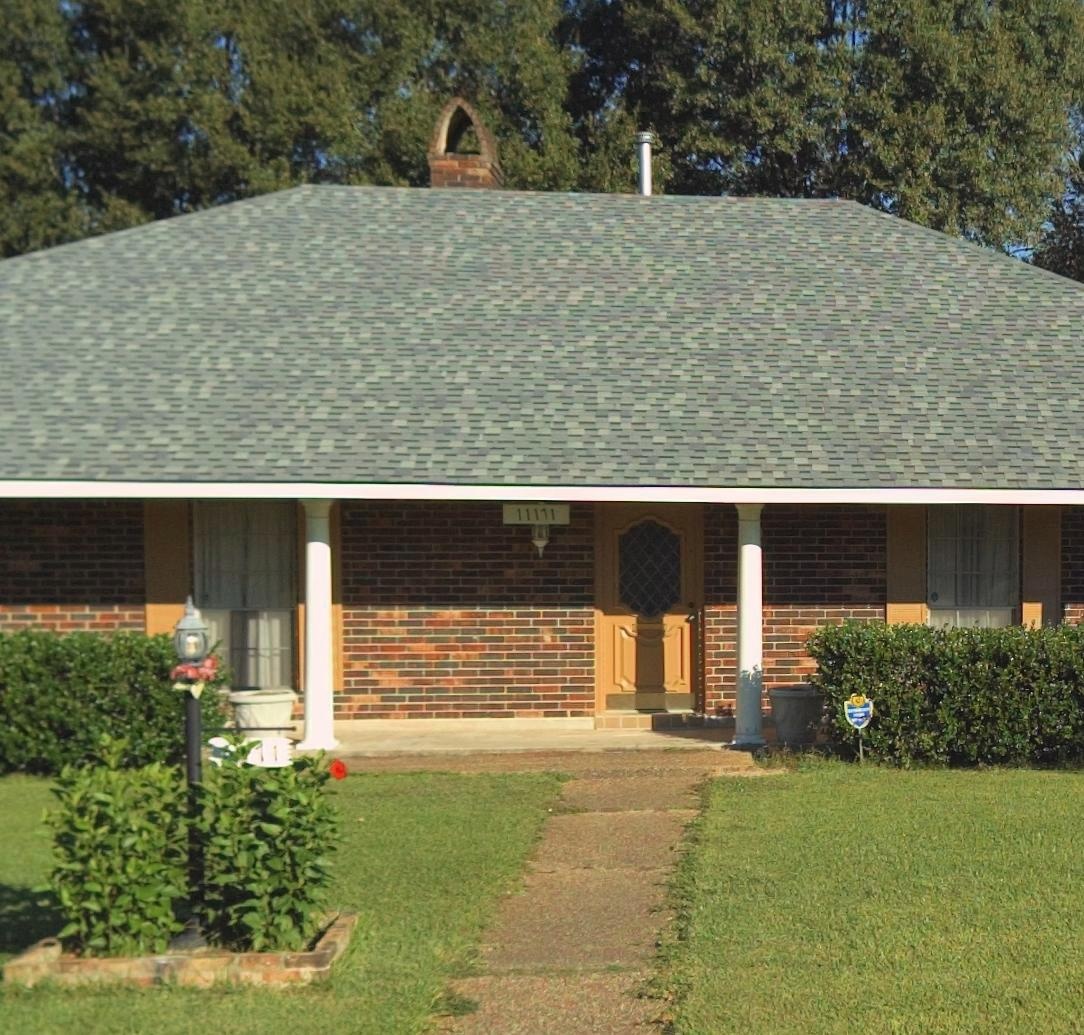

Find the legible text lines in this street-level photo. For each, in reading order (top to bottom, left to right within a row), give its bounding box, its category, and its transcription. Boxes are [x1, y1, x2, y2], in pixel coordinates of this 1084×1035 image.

[514, 505, 558, 523] StreetNumber: 11171